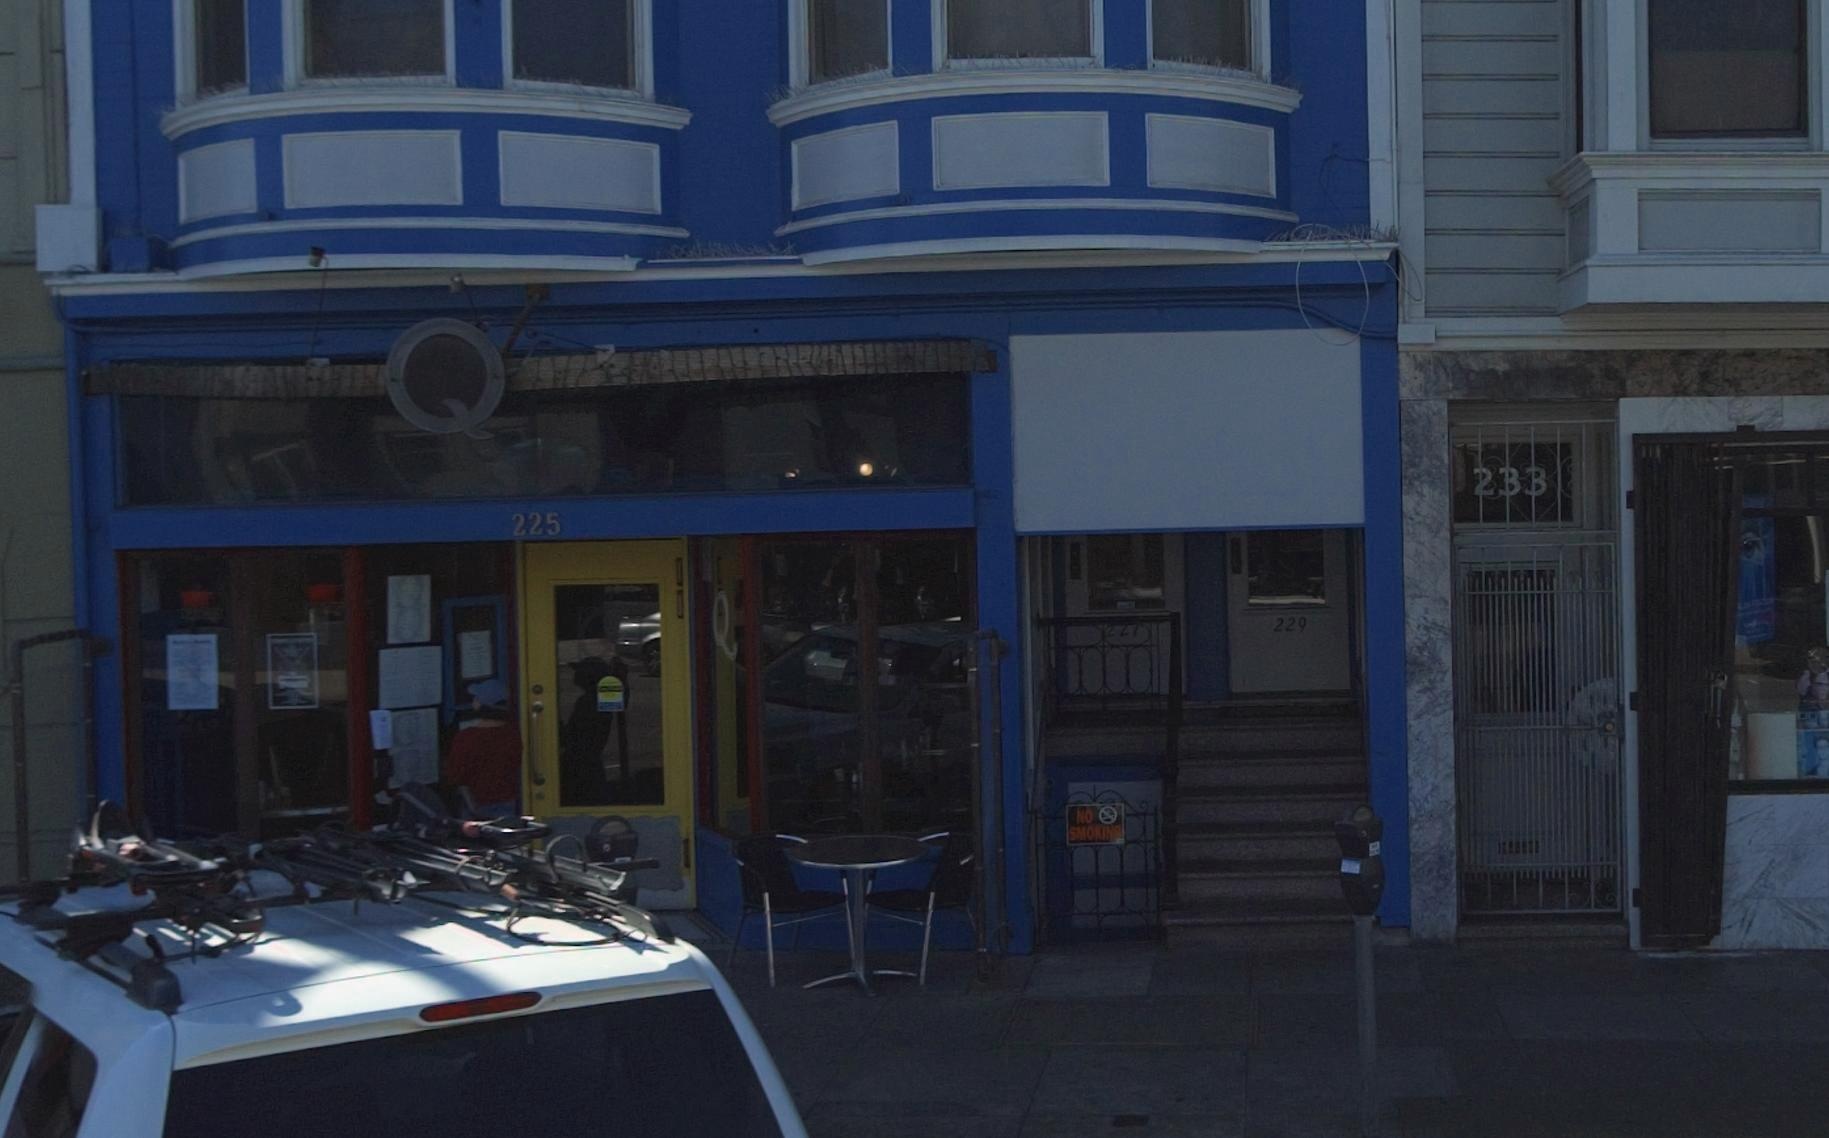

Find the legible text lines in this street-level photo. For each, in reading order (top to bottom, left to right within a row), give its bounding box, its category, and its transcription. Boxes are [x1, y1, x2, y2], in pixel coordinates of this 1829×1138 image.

[1470, 463, 1548, 497] None: 233
[509, 509, 562, 538] StreetNumber: 225
[1272, 615, 1308, 633] StreetNumber: 229
[1075, 807, 1093, 823] None: NO
[1069, 823, 1123, 843] None: SMOKING